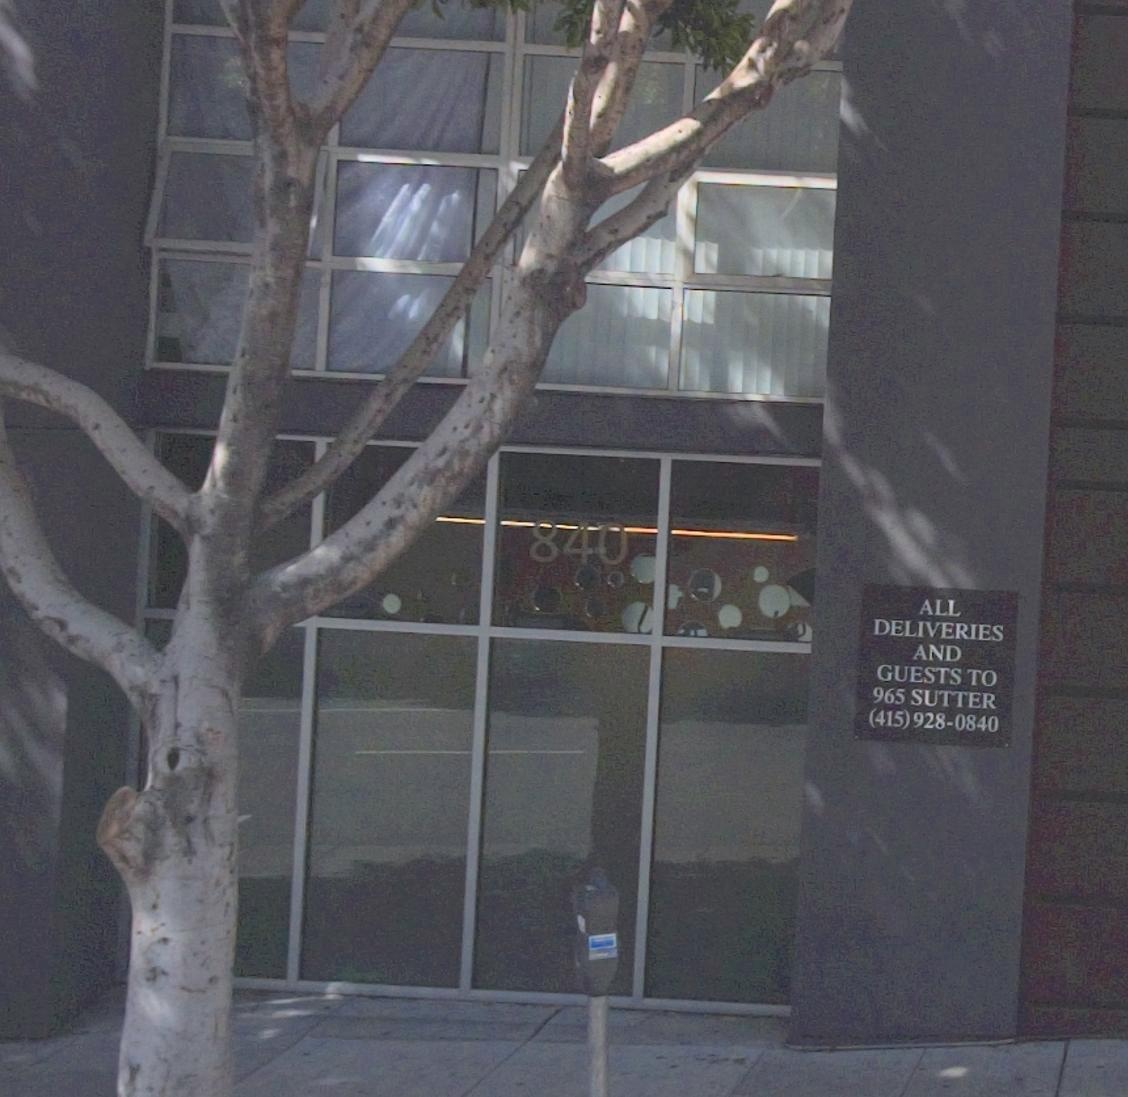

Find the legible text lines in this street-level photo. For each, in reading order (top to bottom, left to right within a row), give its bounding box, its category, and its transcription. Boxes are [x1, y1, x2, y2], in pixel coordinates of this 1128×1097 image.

[528, 518, 630, 567] StreetNumber: 840
[916, 598, 963, 617] None: ALL
[871, 617, 1006, 643] None: DELIVERIRES
[909, 643, 963, 663] None: AND
[875, 663, 998, 688] None: GUESTS TO
[869, 686, 999, 711] None: 965 SUTTER
[867, 706, 1001, 733] None: (415)928-0840